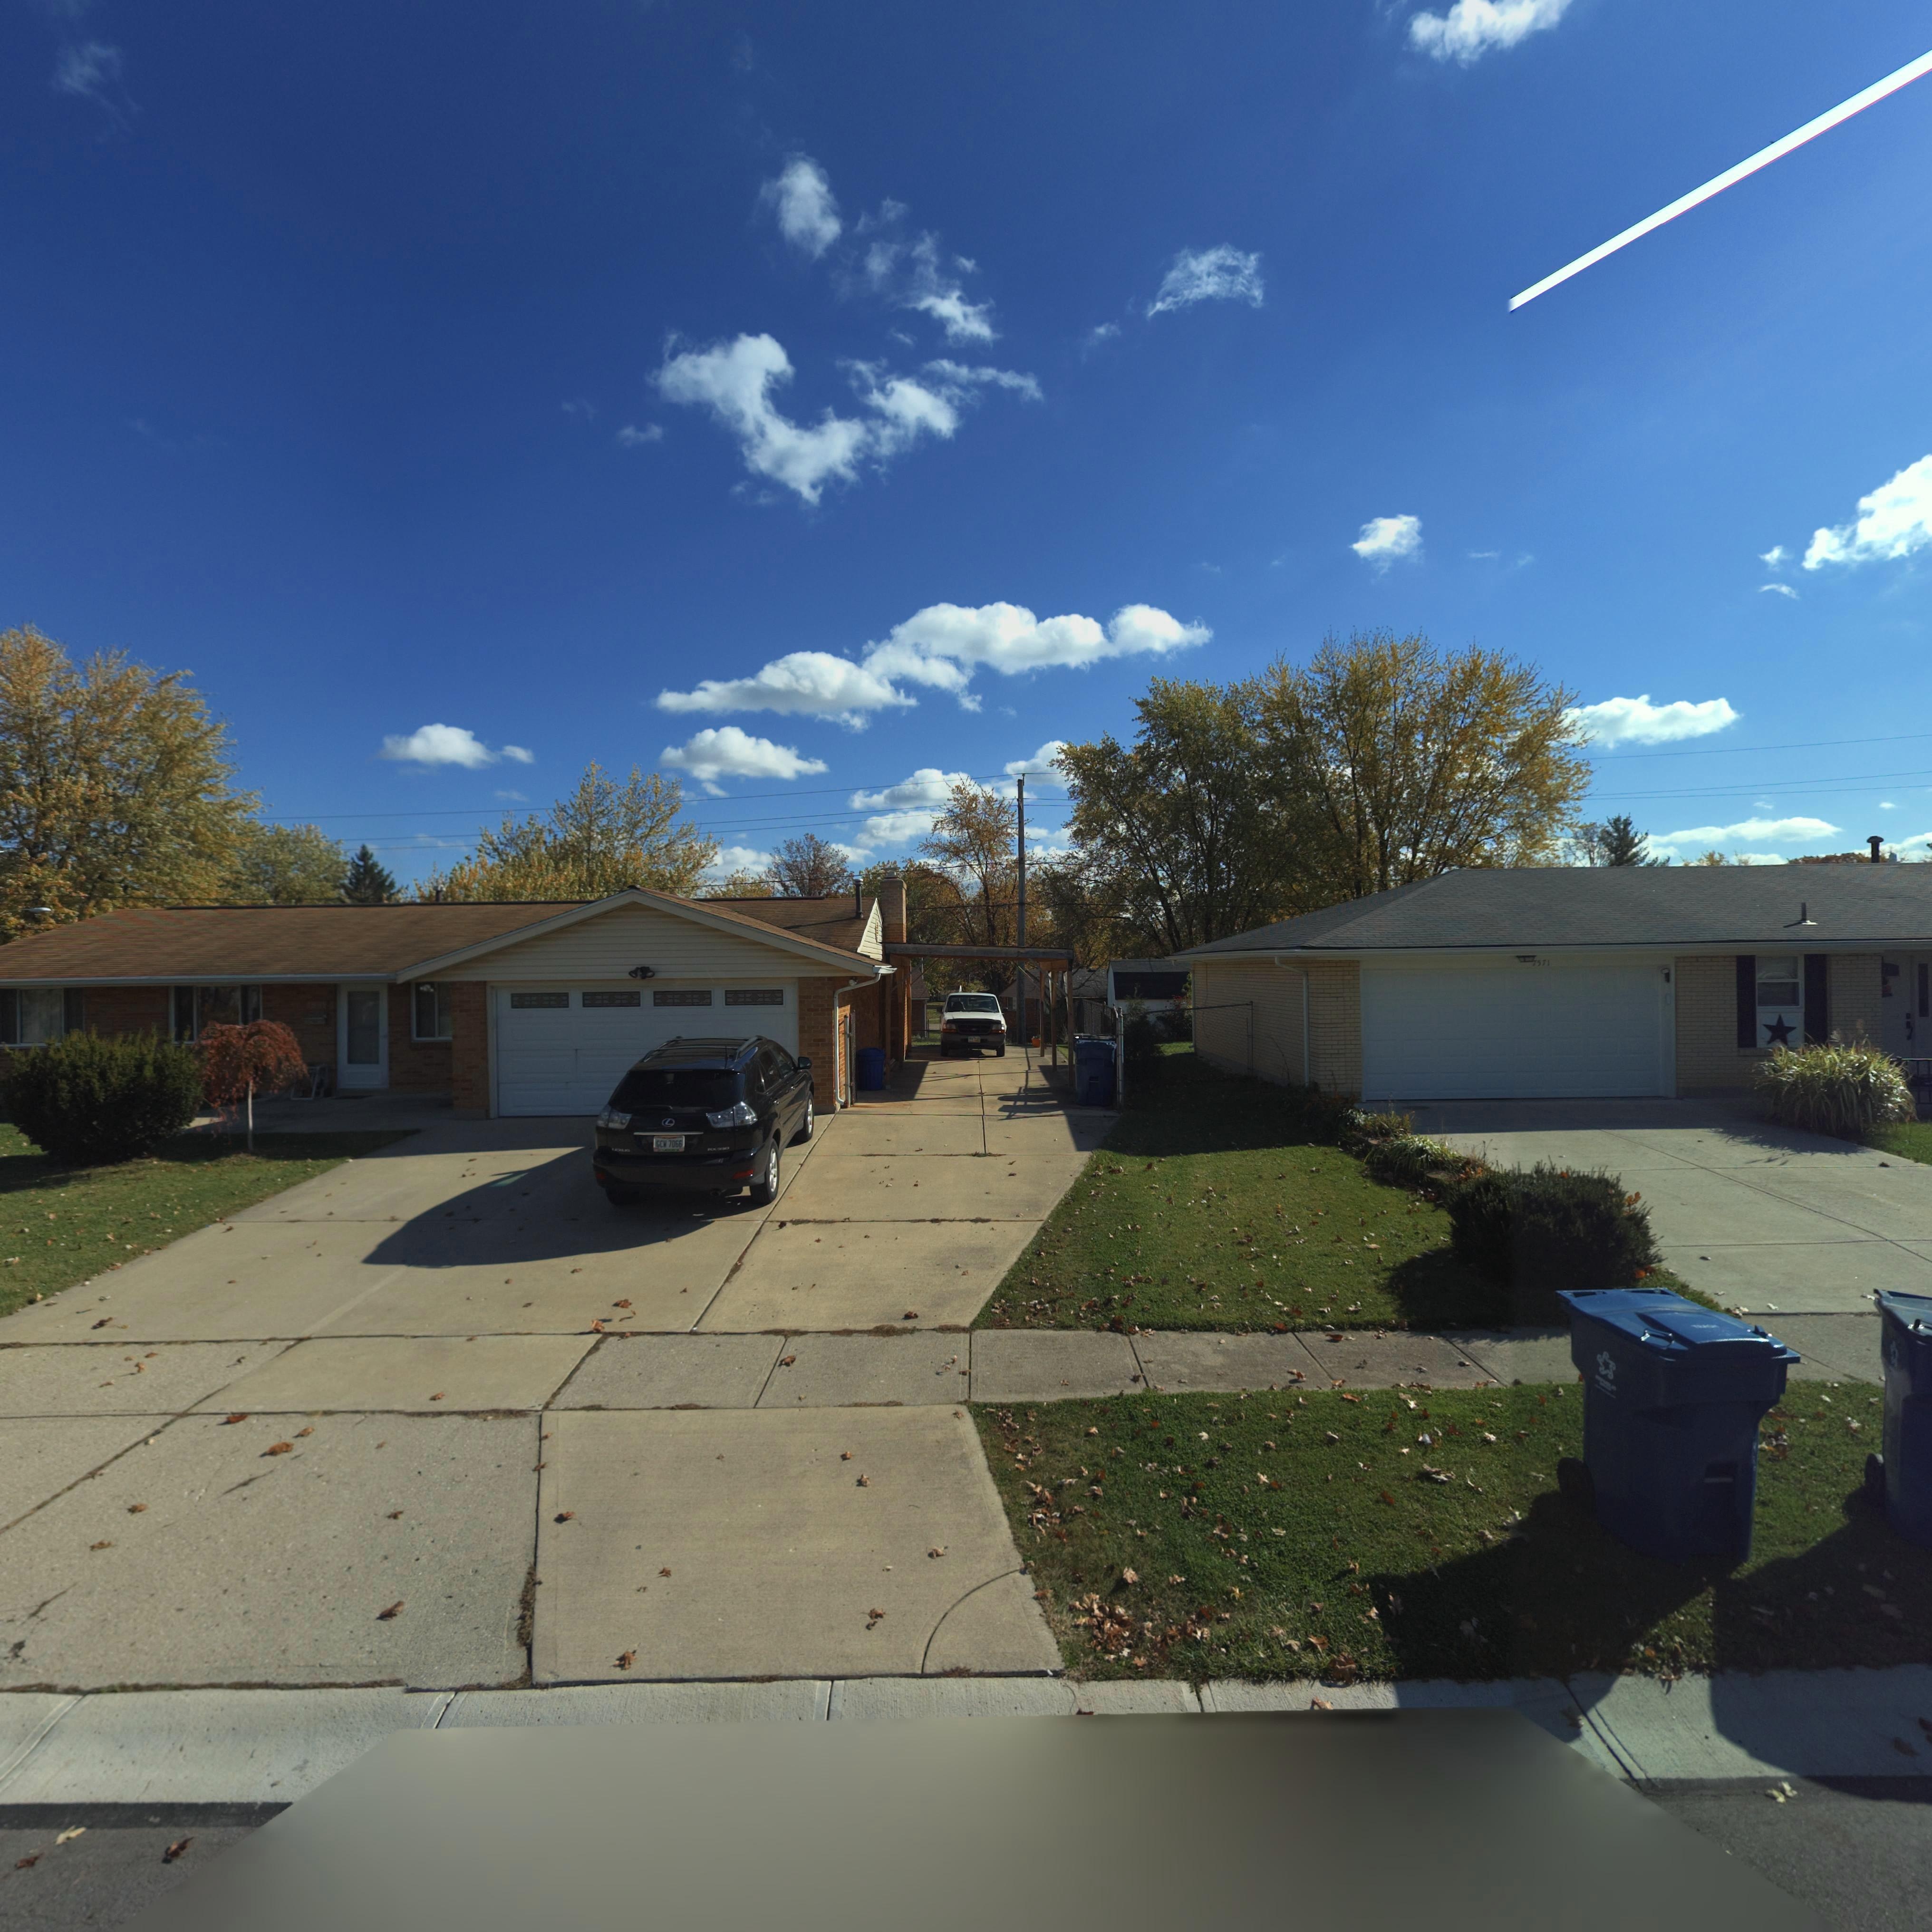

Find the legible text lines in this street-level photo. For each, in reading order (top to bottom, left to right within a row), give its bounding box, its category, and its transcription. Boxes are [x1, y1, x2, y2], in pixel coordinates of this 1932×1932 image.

[1531, 958, 1551, 967] StreetNumber: 7571